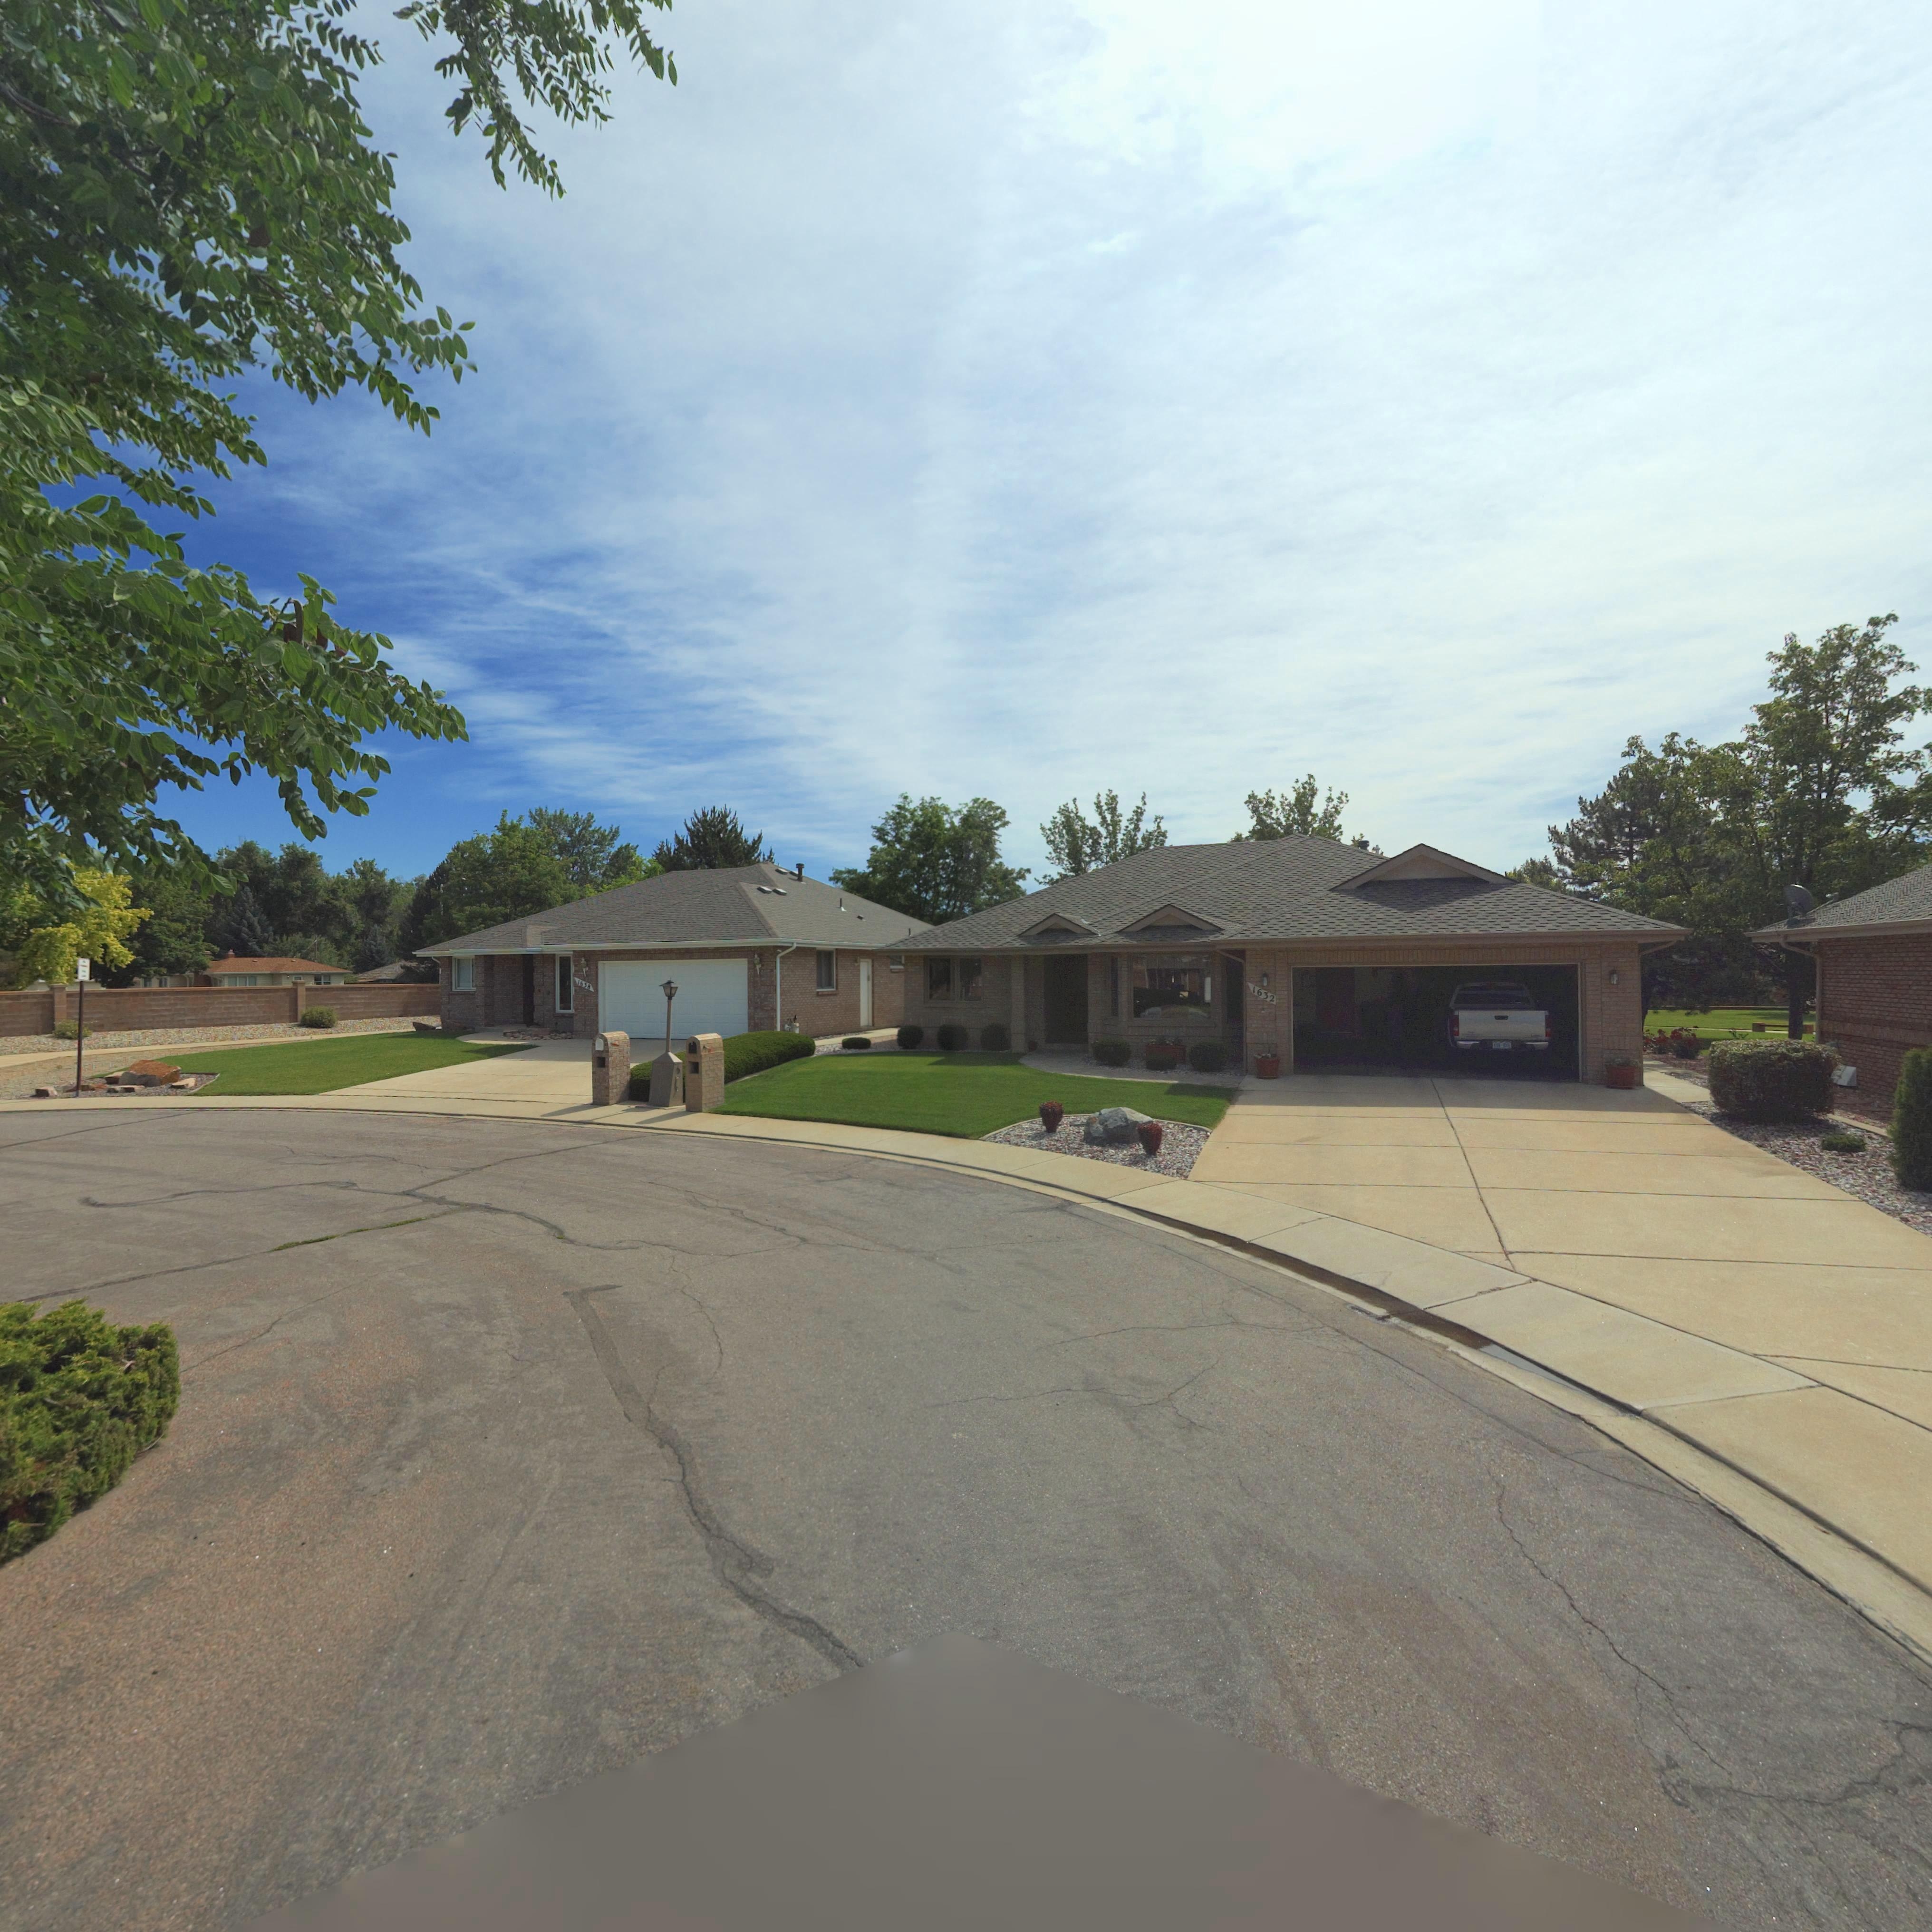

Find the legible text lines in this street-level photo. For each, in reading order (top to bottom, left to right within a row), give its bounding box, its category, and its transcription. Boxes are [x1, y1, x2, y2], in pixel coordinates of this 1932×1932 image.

[578, 979, 590, 989] StreetNumber: 1638
[1253, 985, 1275, 1002] StreetNumber: 1632